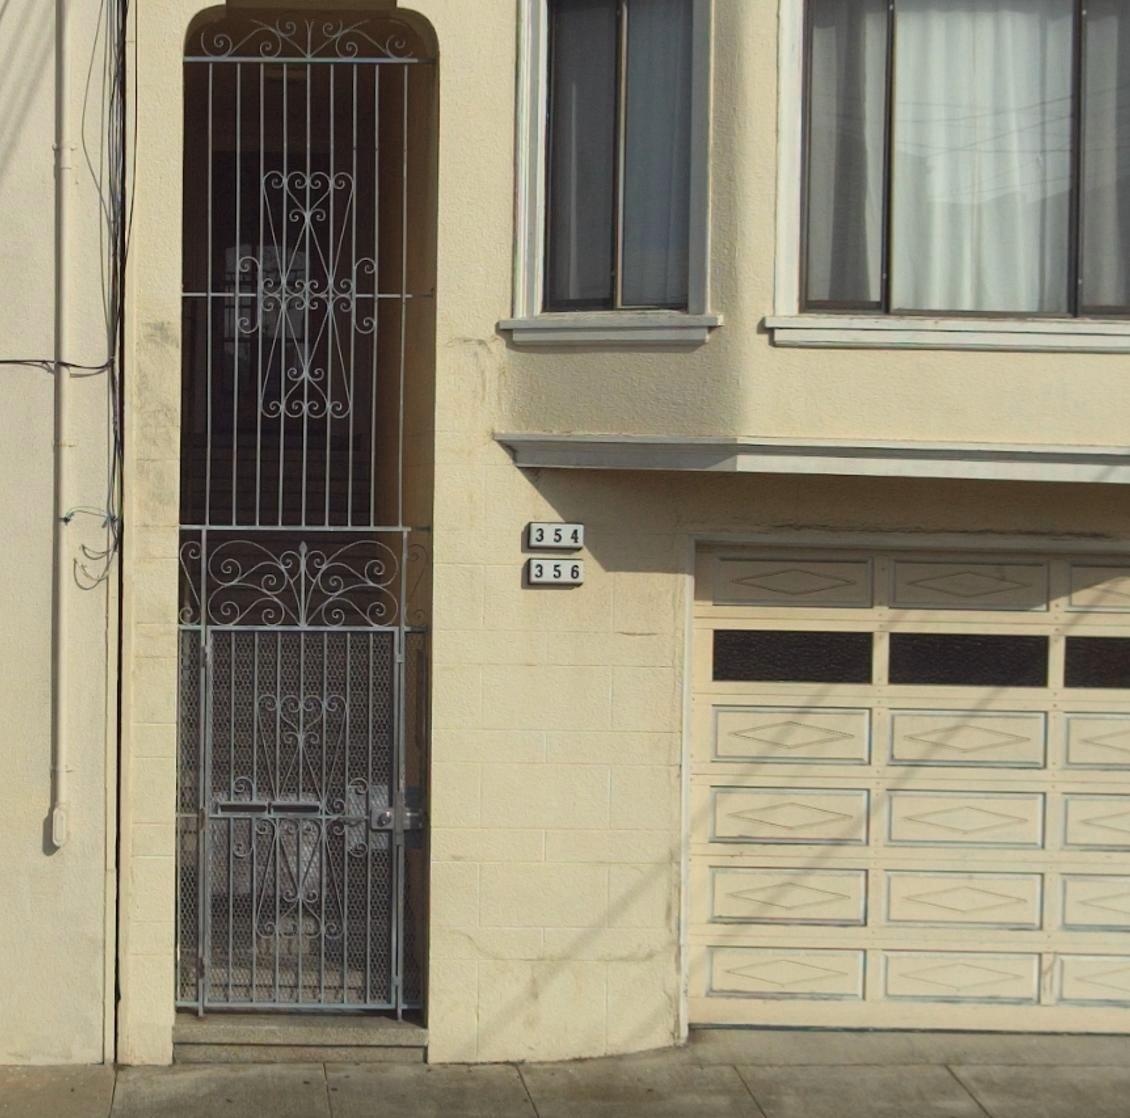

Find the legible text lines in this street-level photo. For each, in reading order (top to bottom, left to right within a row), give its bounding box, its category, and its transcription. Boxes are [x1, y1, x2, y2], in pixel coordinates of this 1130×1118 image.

[534, 527, 580, 545] StreetNumber: 354
[533, 563, 580, 580] StreetNumber: 356